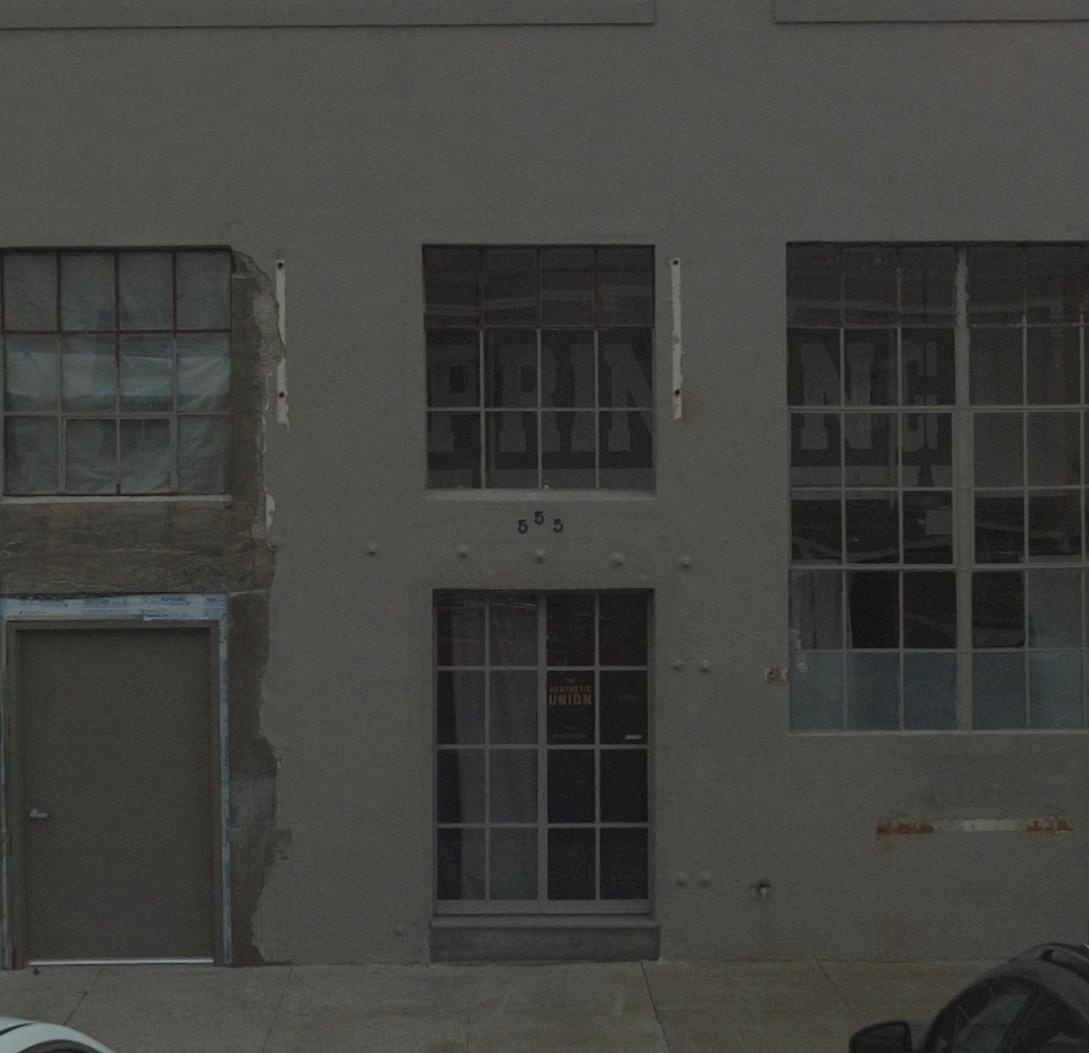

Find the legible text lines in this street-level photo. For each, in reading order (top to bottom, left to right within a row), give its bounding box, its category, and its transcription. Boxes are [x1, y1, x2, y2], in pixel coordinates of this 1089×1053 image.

[517, 509, 566, 536] StreetNumber: 555
[547, 692, 593, 707] None: UNION